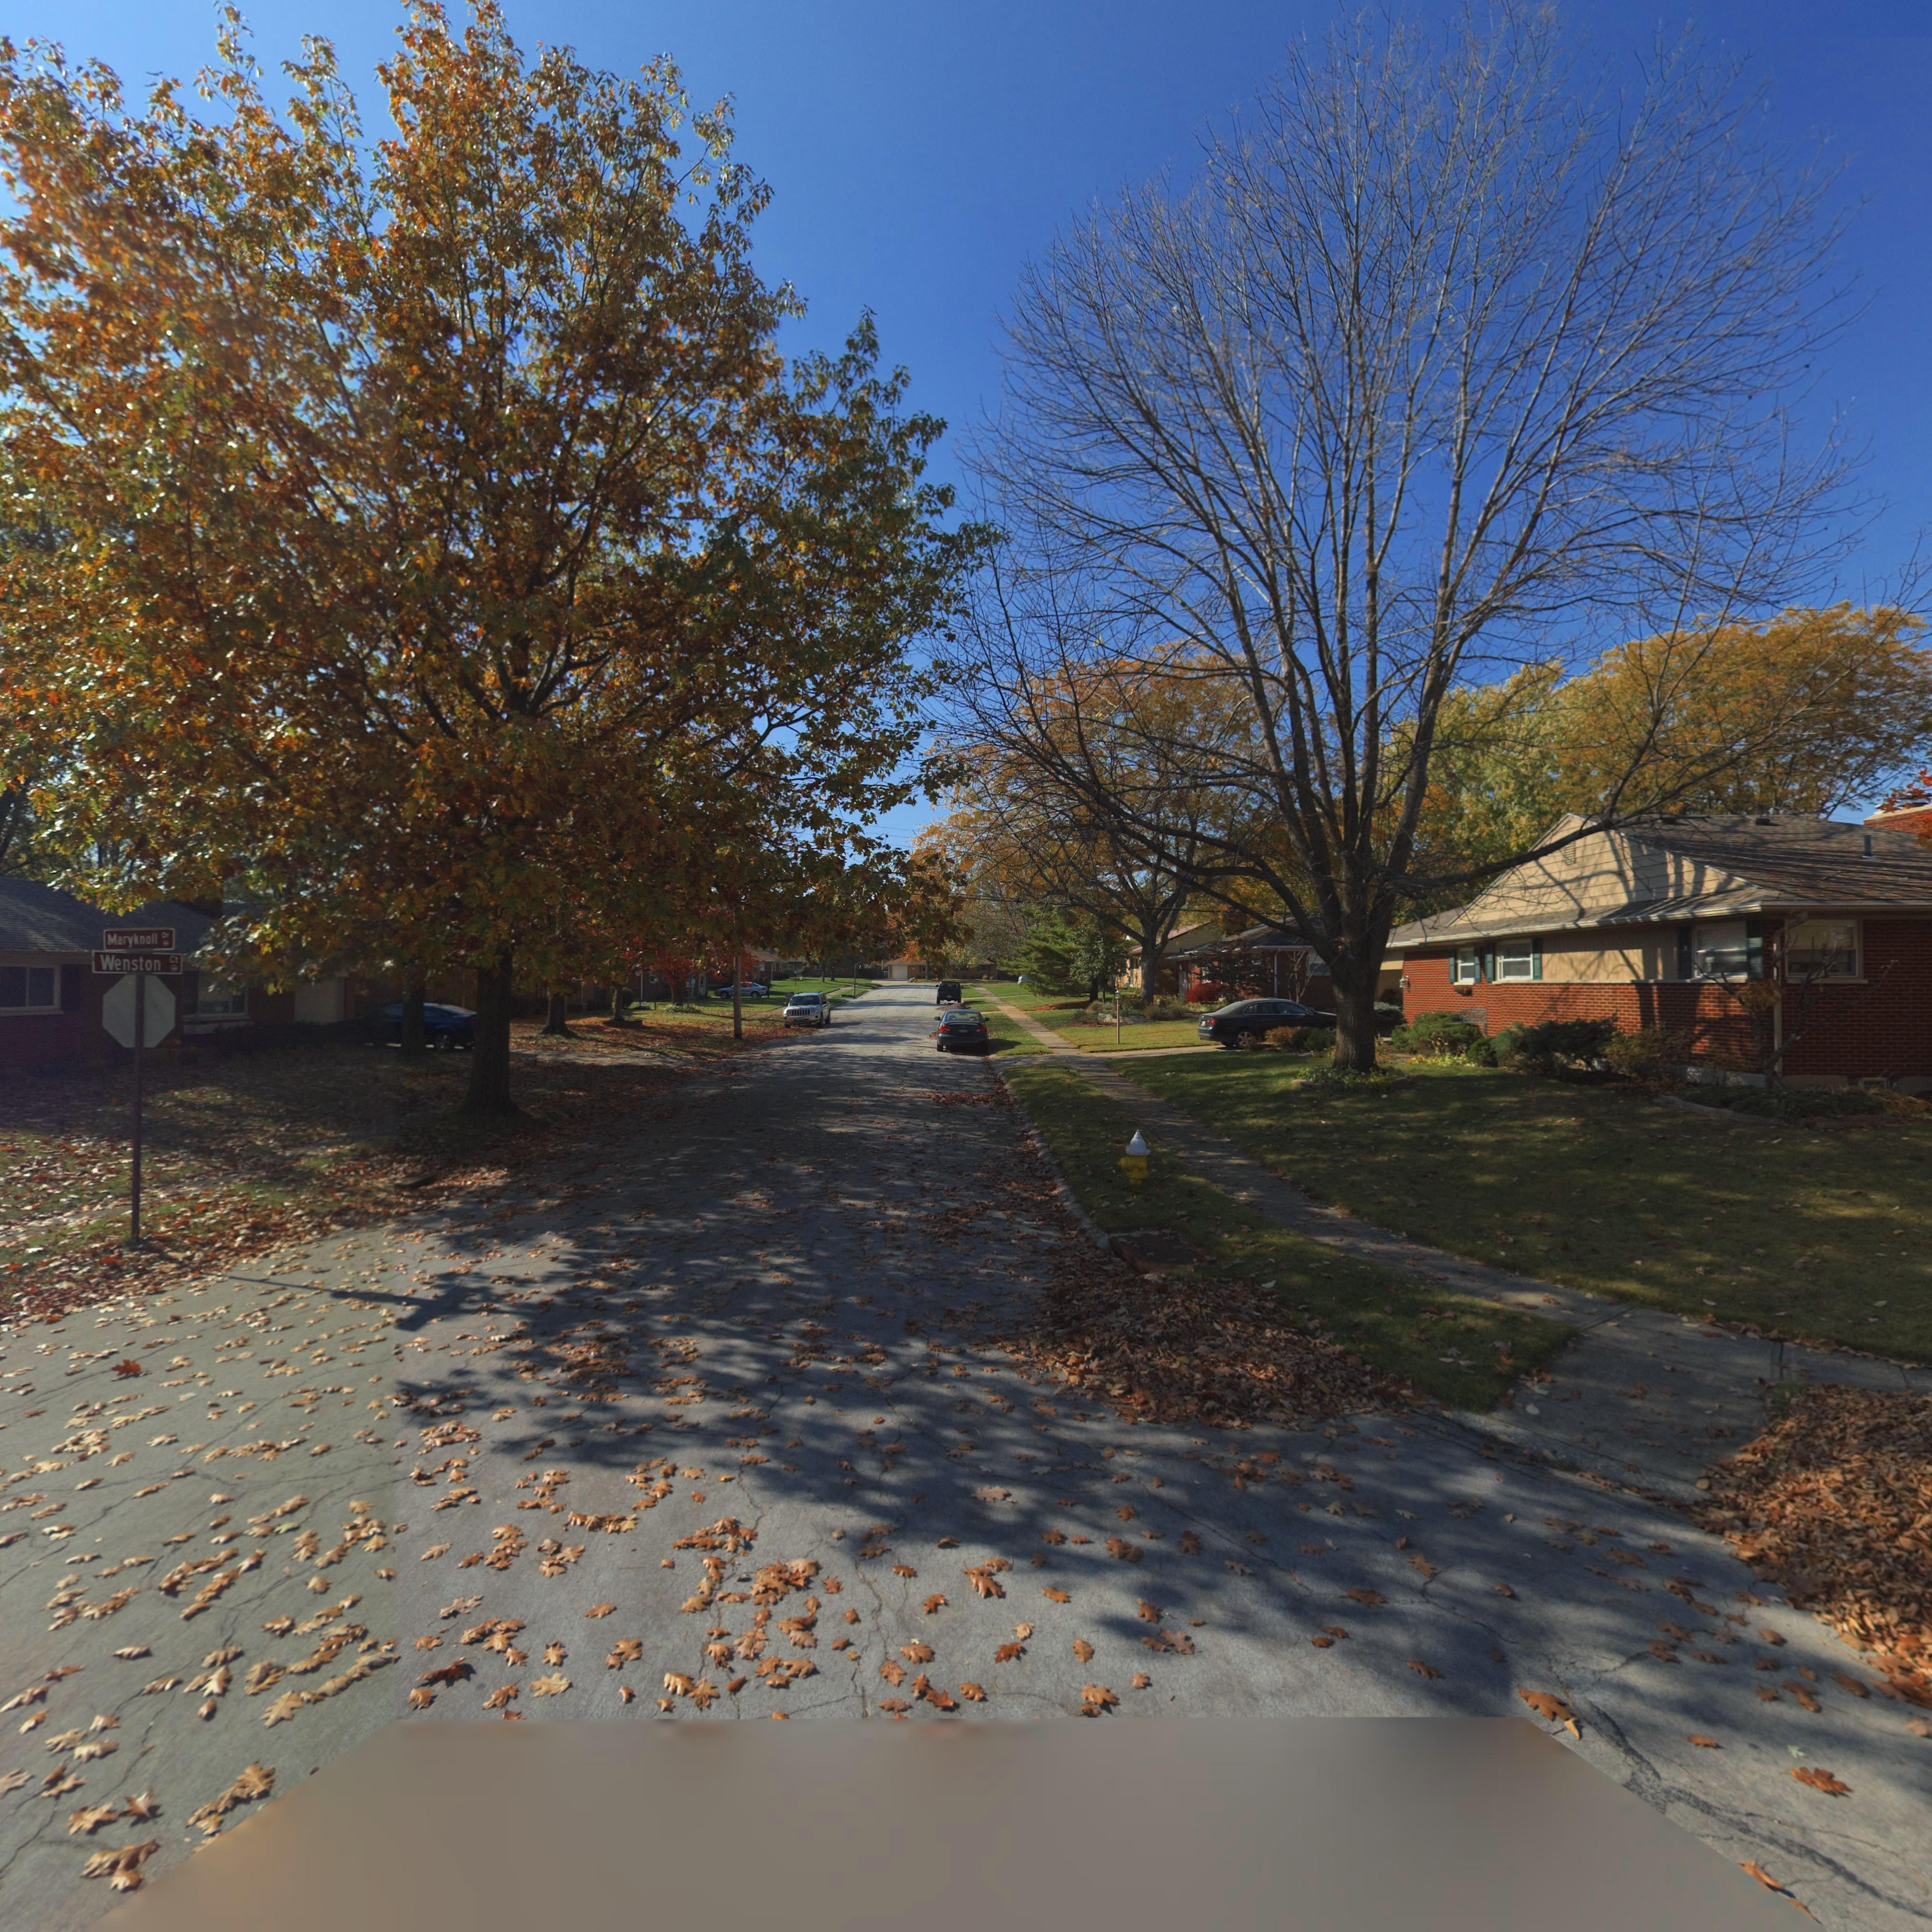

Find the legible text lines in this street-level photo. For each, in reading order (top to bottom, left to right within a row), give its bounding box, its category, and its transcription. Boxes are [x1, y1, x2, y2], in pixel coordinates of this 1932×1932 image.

[106, 932, 170, 948] StreetName: Maryknoll Dr
[99, 954, 179, 972] StreetName: Wenston Ct